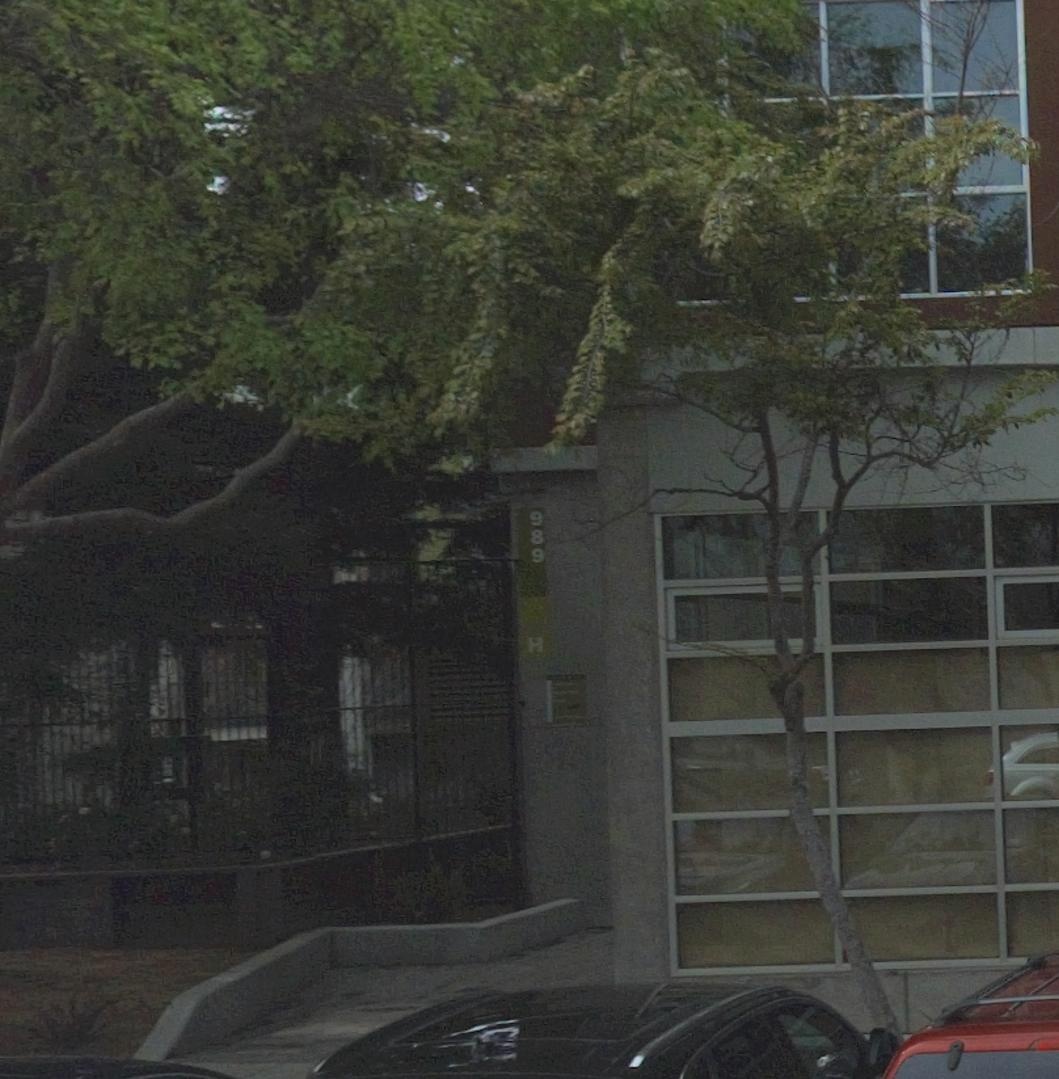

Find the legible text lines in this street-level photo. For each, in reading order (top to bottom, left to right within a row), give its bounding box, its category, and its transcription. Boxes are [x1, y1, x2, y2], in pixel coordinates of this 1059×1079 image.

[529, 510, 546, 565] StreetNumber: 989
[527, 635, 544, 654] None: H